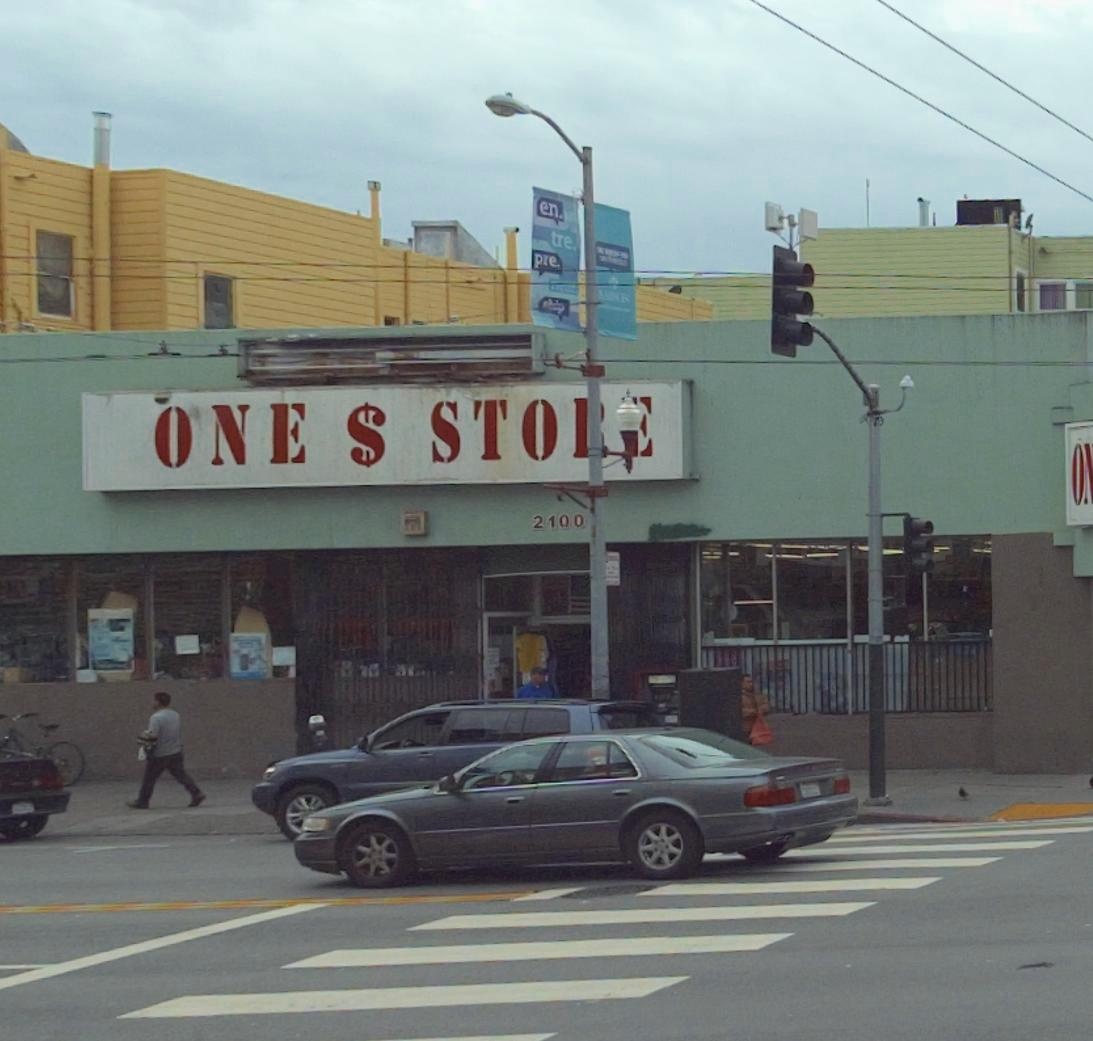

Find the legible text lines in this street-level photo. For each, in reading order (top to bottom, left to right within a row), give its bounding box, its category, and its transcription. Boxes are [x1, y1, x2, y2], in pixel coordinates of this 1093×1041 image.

[538, 199, 559, 219] None: en
[548, 229, 574, 251] None: tre
[532, 252, 559, 270] None: pre
[153, 397, 560, 470] BusinessName: ONE $ STO
[1070, 441, 1086, 509] BusinessName: O
[531, 513, 586, 530] StreetNumber: 2100